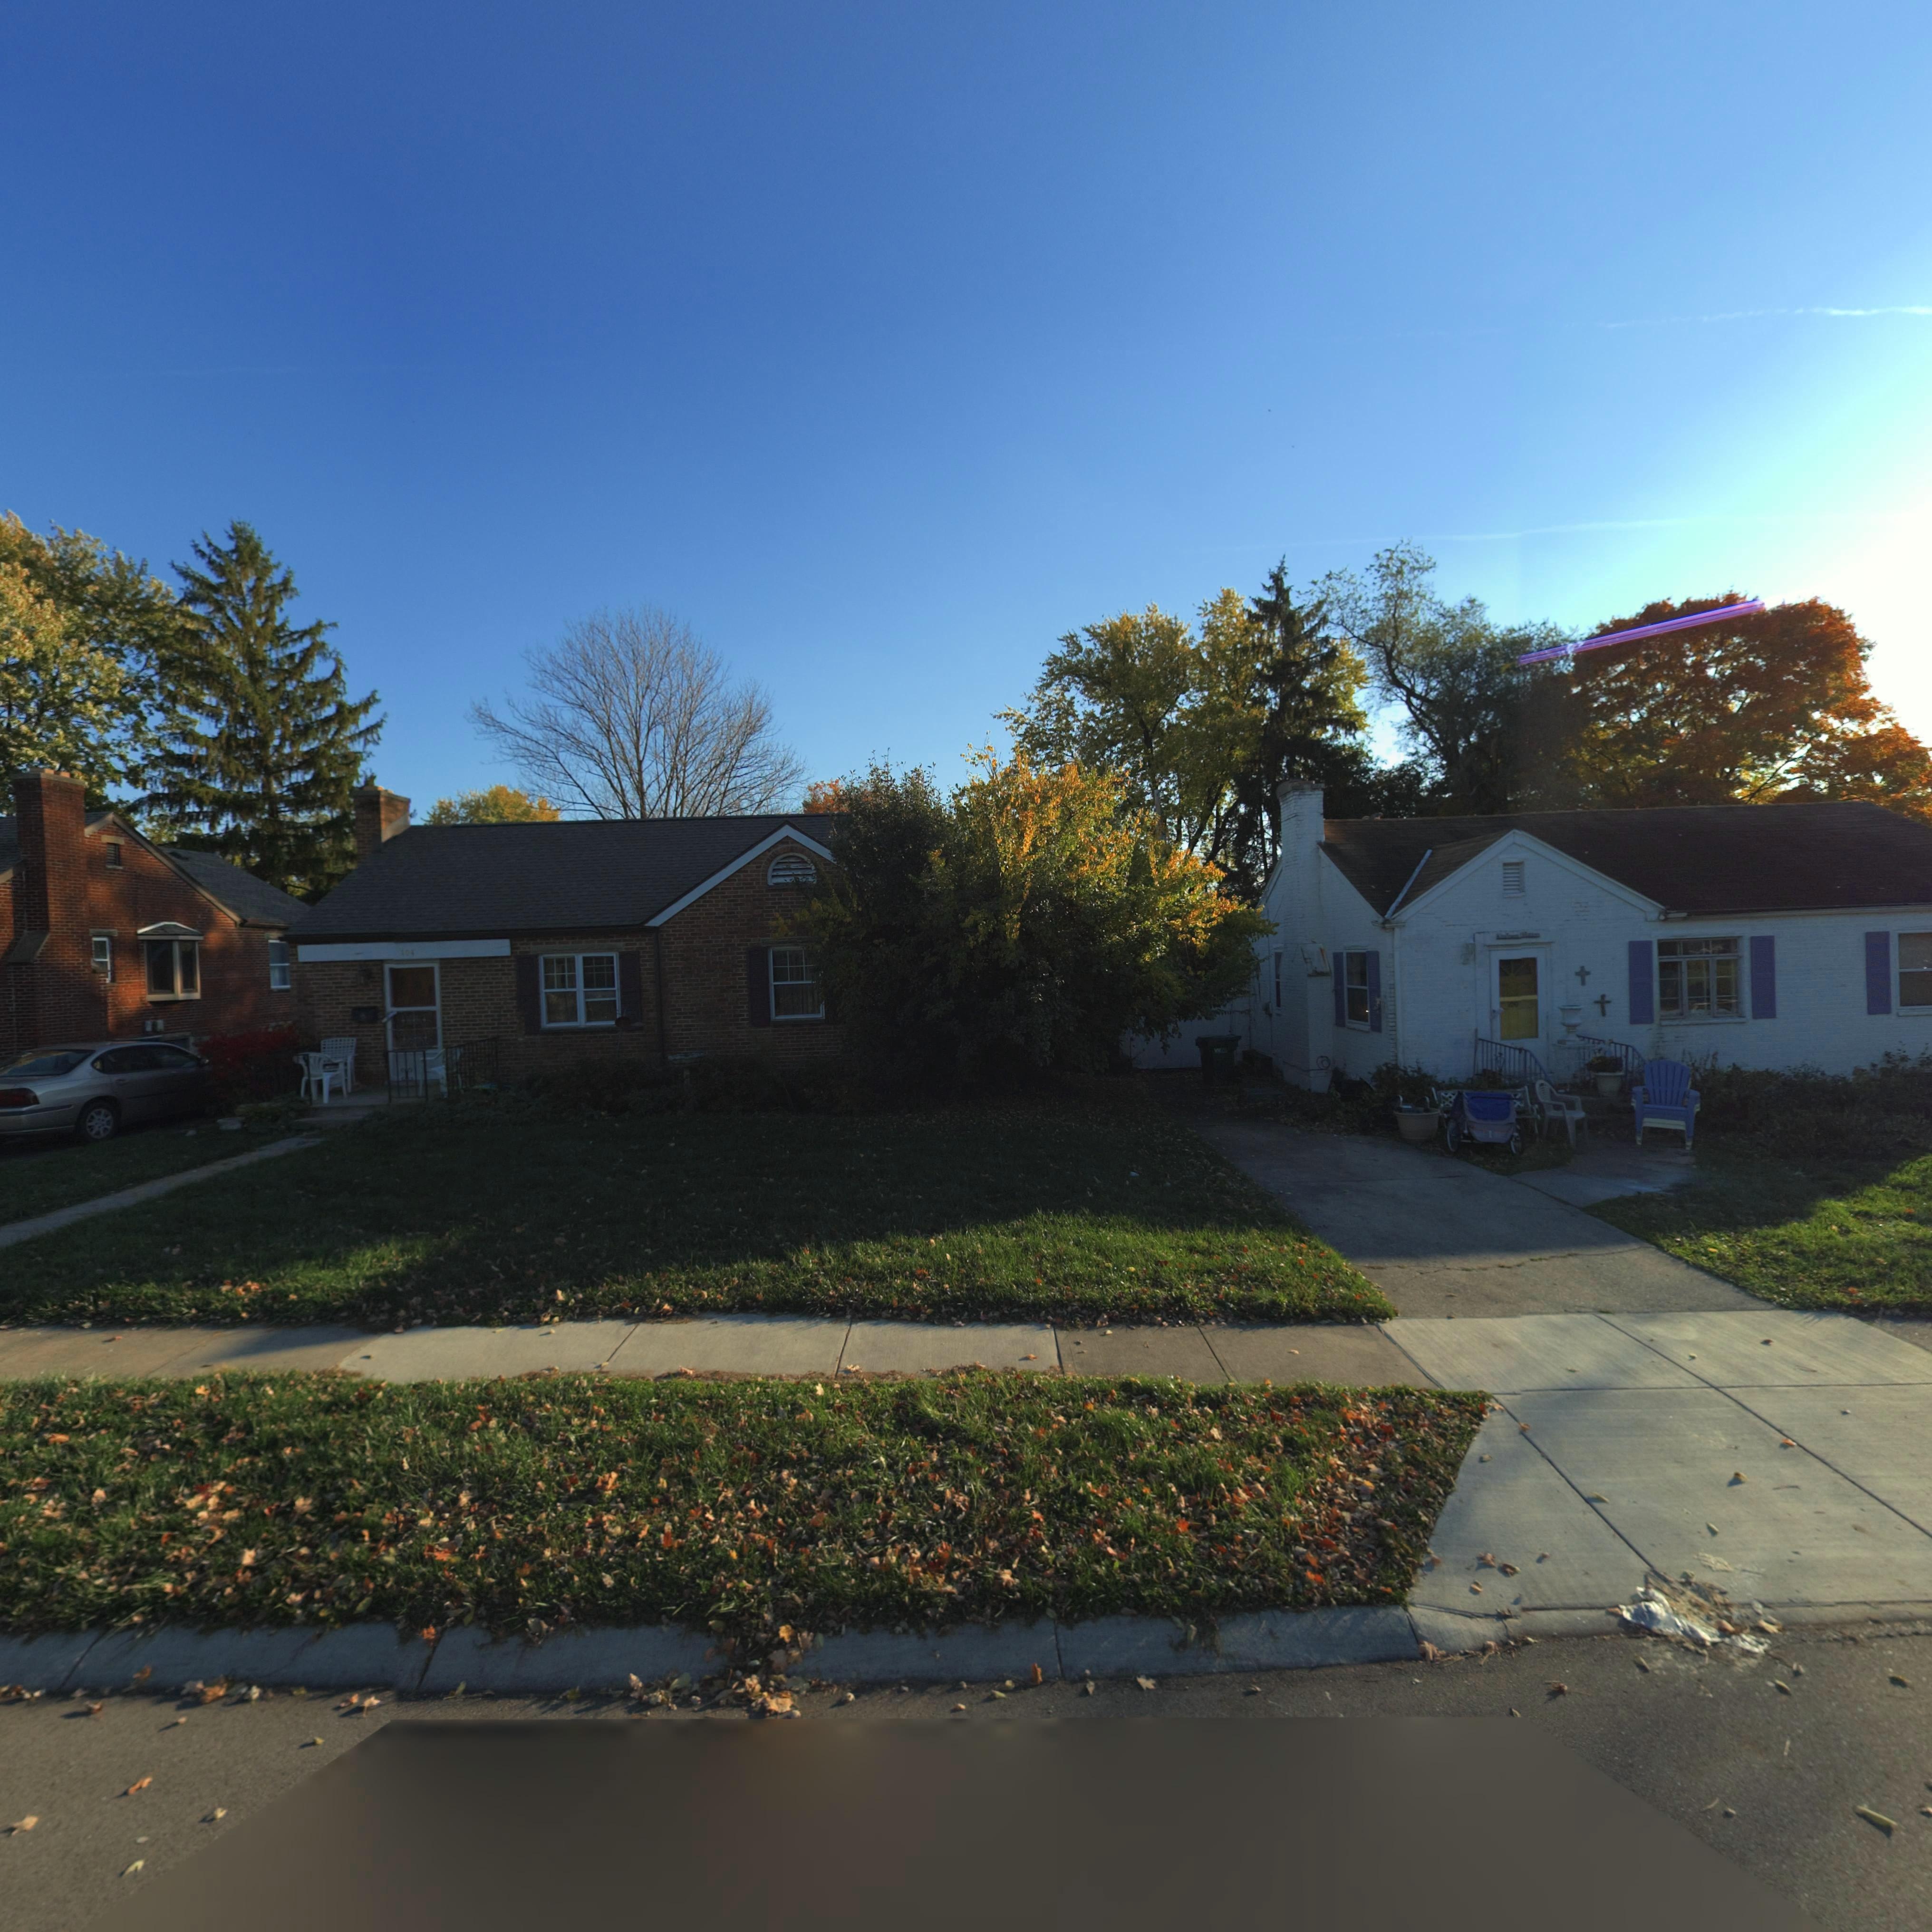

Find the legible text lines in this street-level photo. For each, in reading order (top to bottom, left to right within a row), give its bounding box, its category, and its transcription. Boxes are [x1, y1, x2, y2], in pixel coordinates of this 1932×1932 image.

[400, 948, 416, 957] StreetNumber: 104